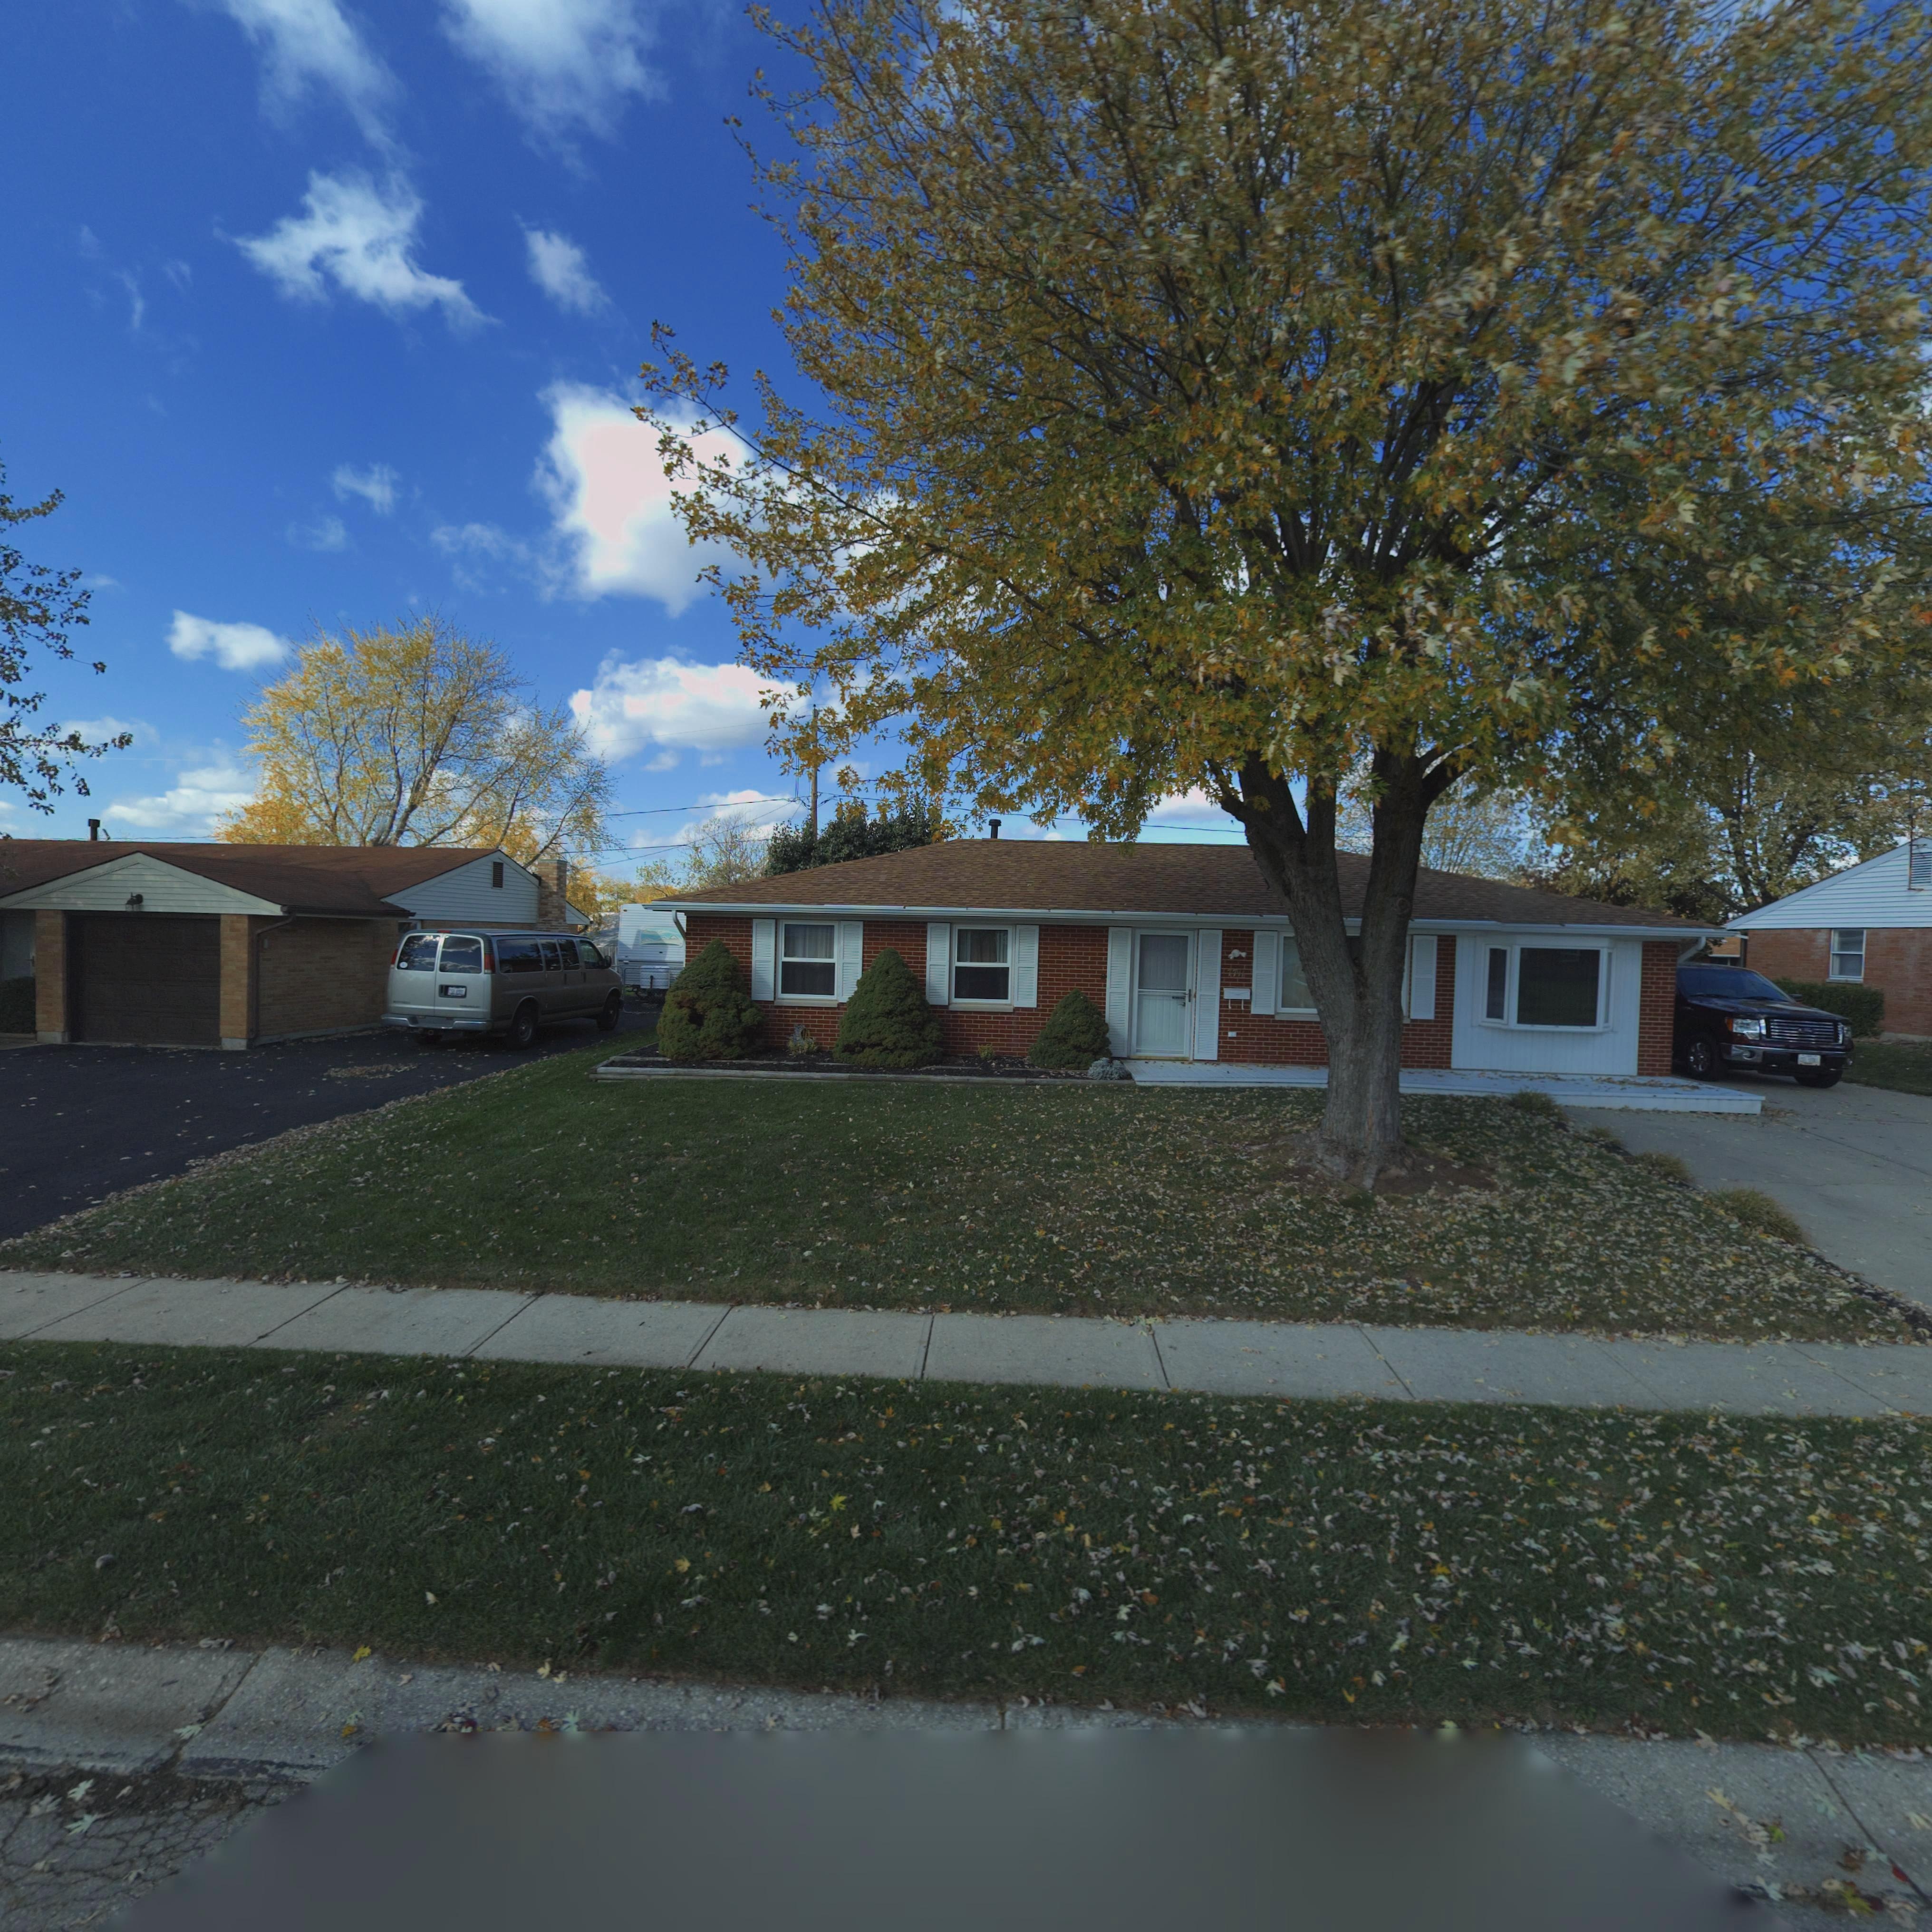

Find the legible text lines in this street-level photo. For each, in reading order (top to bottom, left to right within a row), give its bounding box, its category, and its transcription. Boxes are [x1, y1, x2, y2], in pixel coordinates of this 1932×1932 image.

[1226, 968, 1246, 979] StreetNumber: 7716